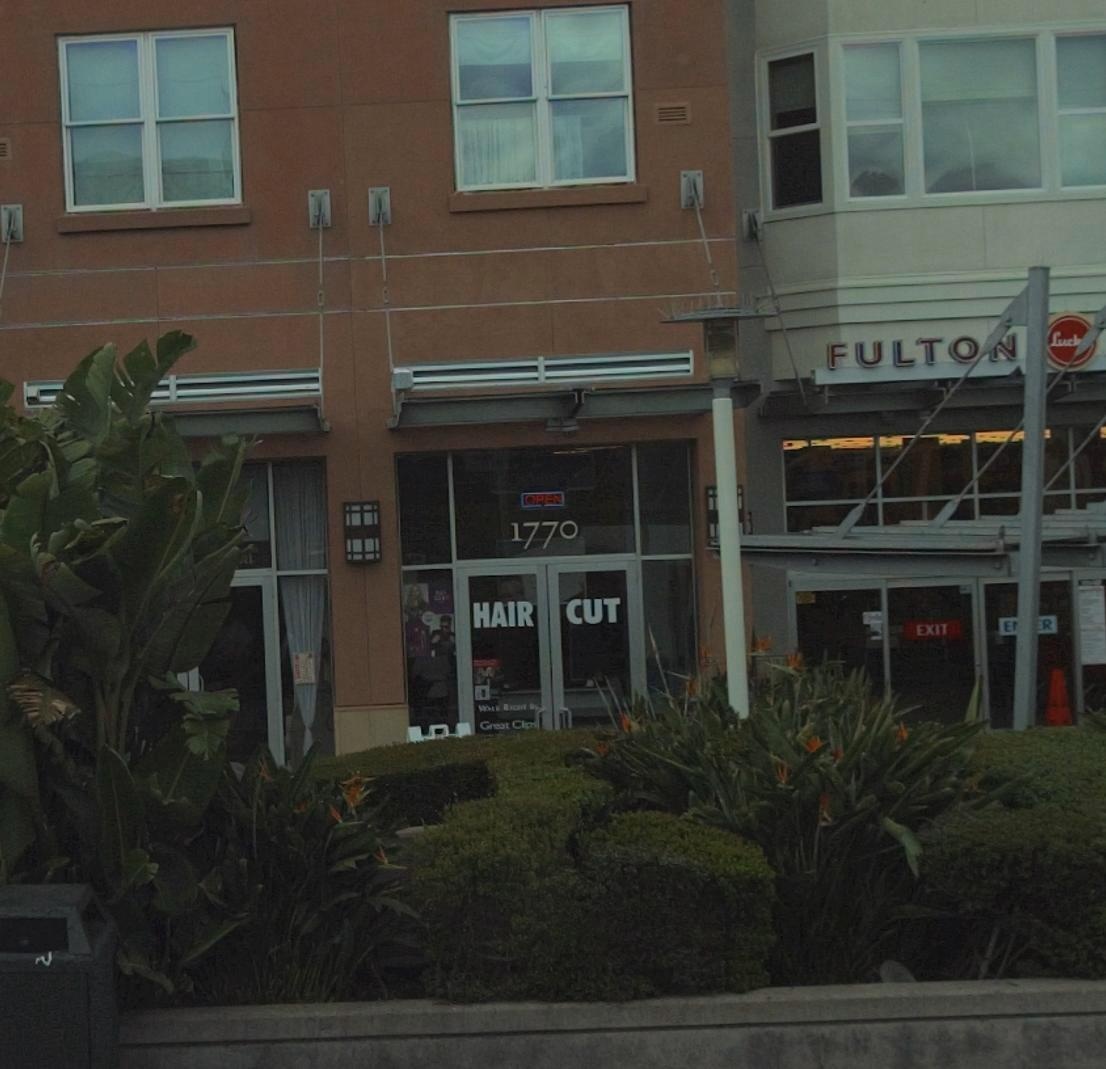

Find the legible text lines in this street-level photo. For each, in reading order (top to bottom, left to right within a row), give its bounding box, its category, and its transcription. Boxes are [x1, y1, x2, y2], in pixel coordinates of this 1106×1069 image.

[1050, 330, 1074, 347] BusinessName: Luc
[830, 333, 1016, 369] BusinessName: FULTO*
[523, 493, 562, 506] None: OPEN
[510, 518, 579, 551] StreetNumber: 1770
[243, 551, 254, 566] None: a
[473, 596, 621, 629] None: HAIR CUT
[915, 623, 948, 637] None: EXIT
[1002, 618, 1054, 634] None: E***R
[478, 719, 523, 731] None: Great C